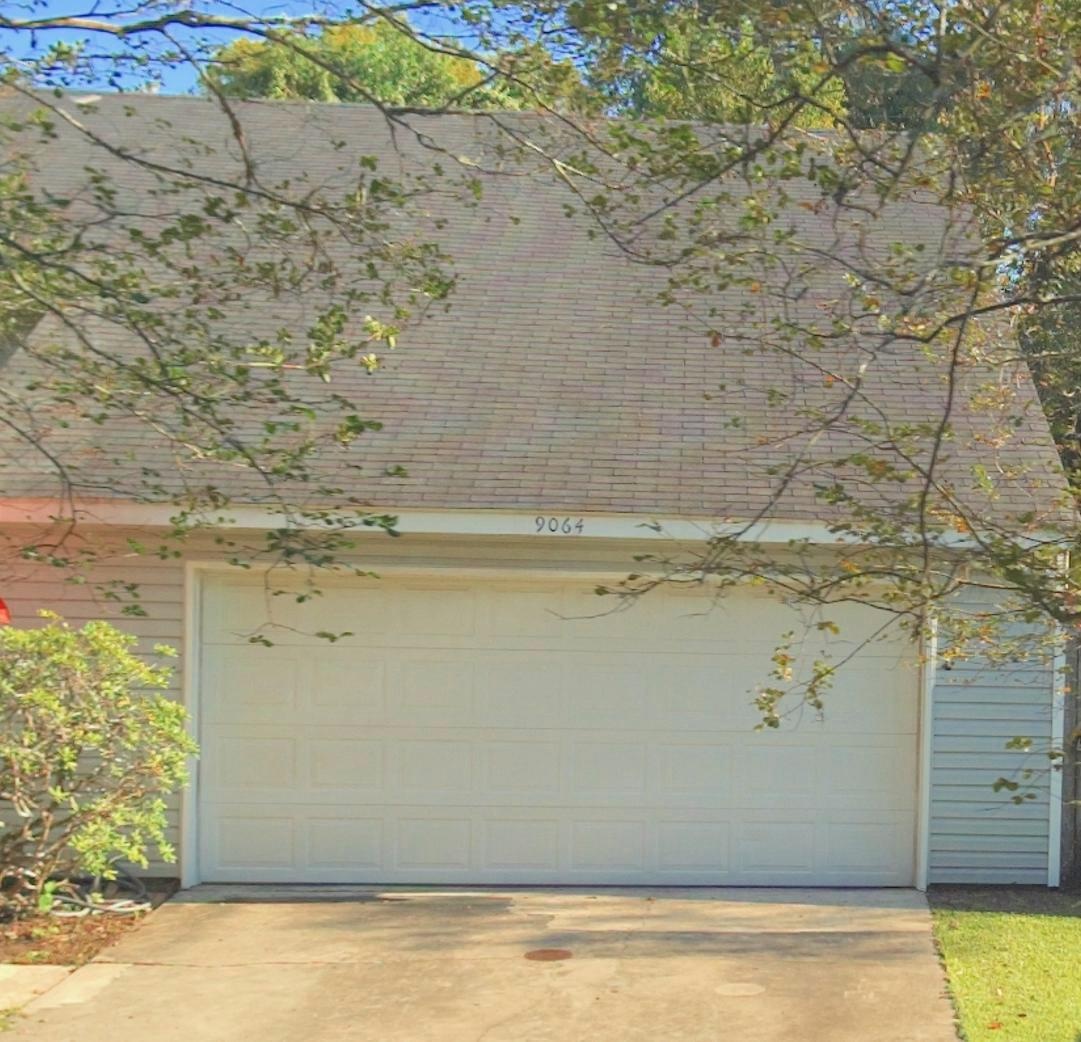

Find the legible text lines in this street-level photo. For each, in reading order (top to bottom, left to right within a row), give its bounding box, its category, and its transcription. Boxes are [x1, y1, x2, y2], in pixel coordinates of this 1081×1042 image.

[533, 514, 587, 534] StreetNumber: 9064